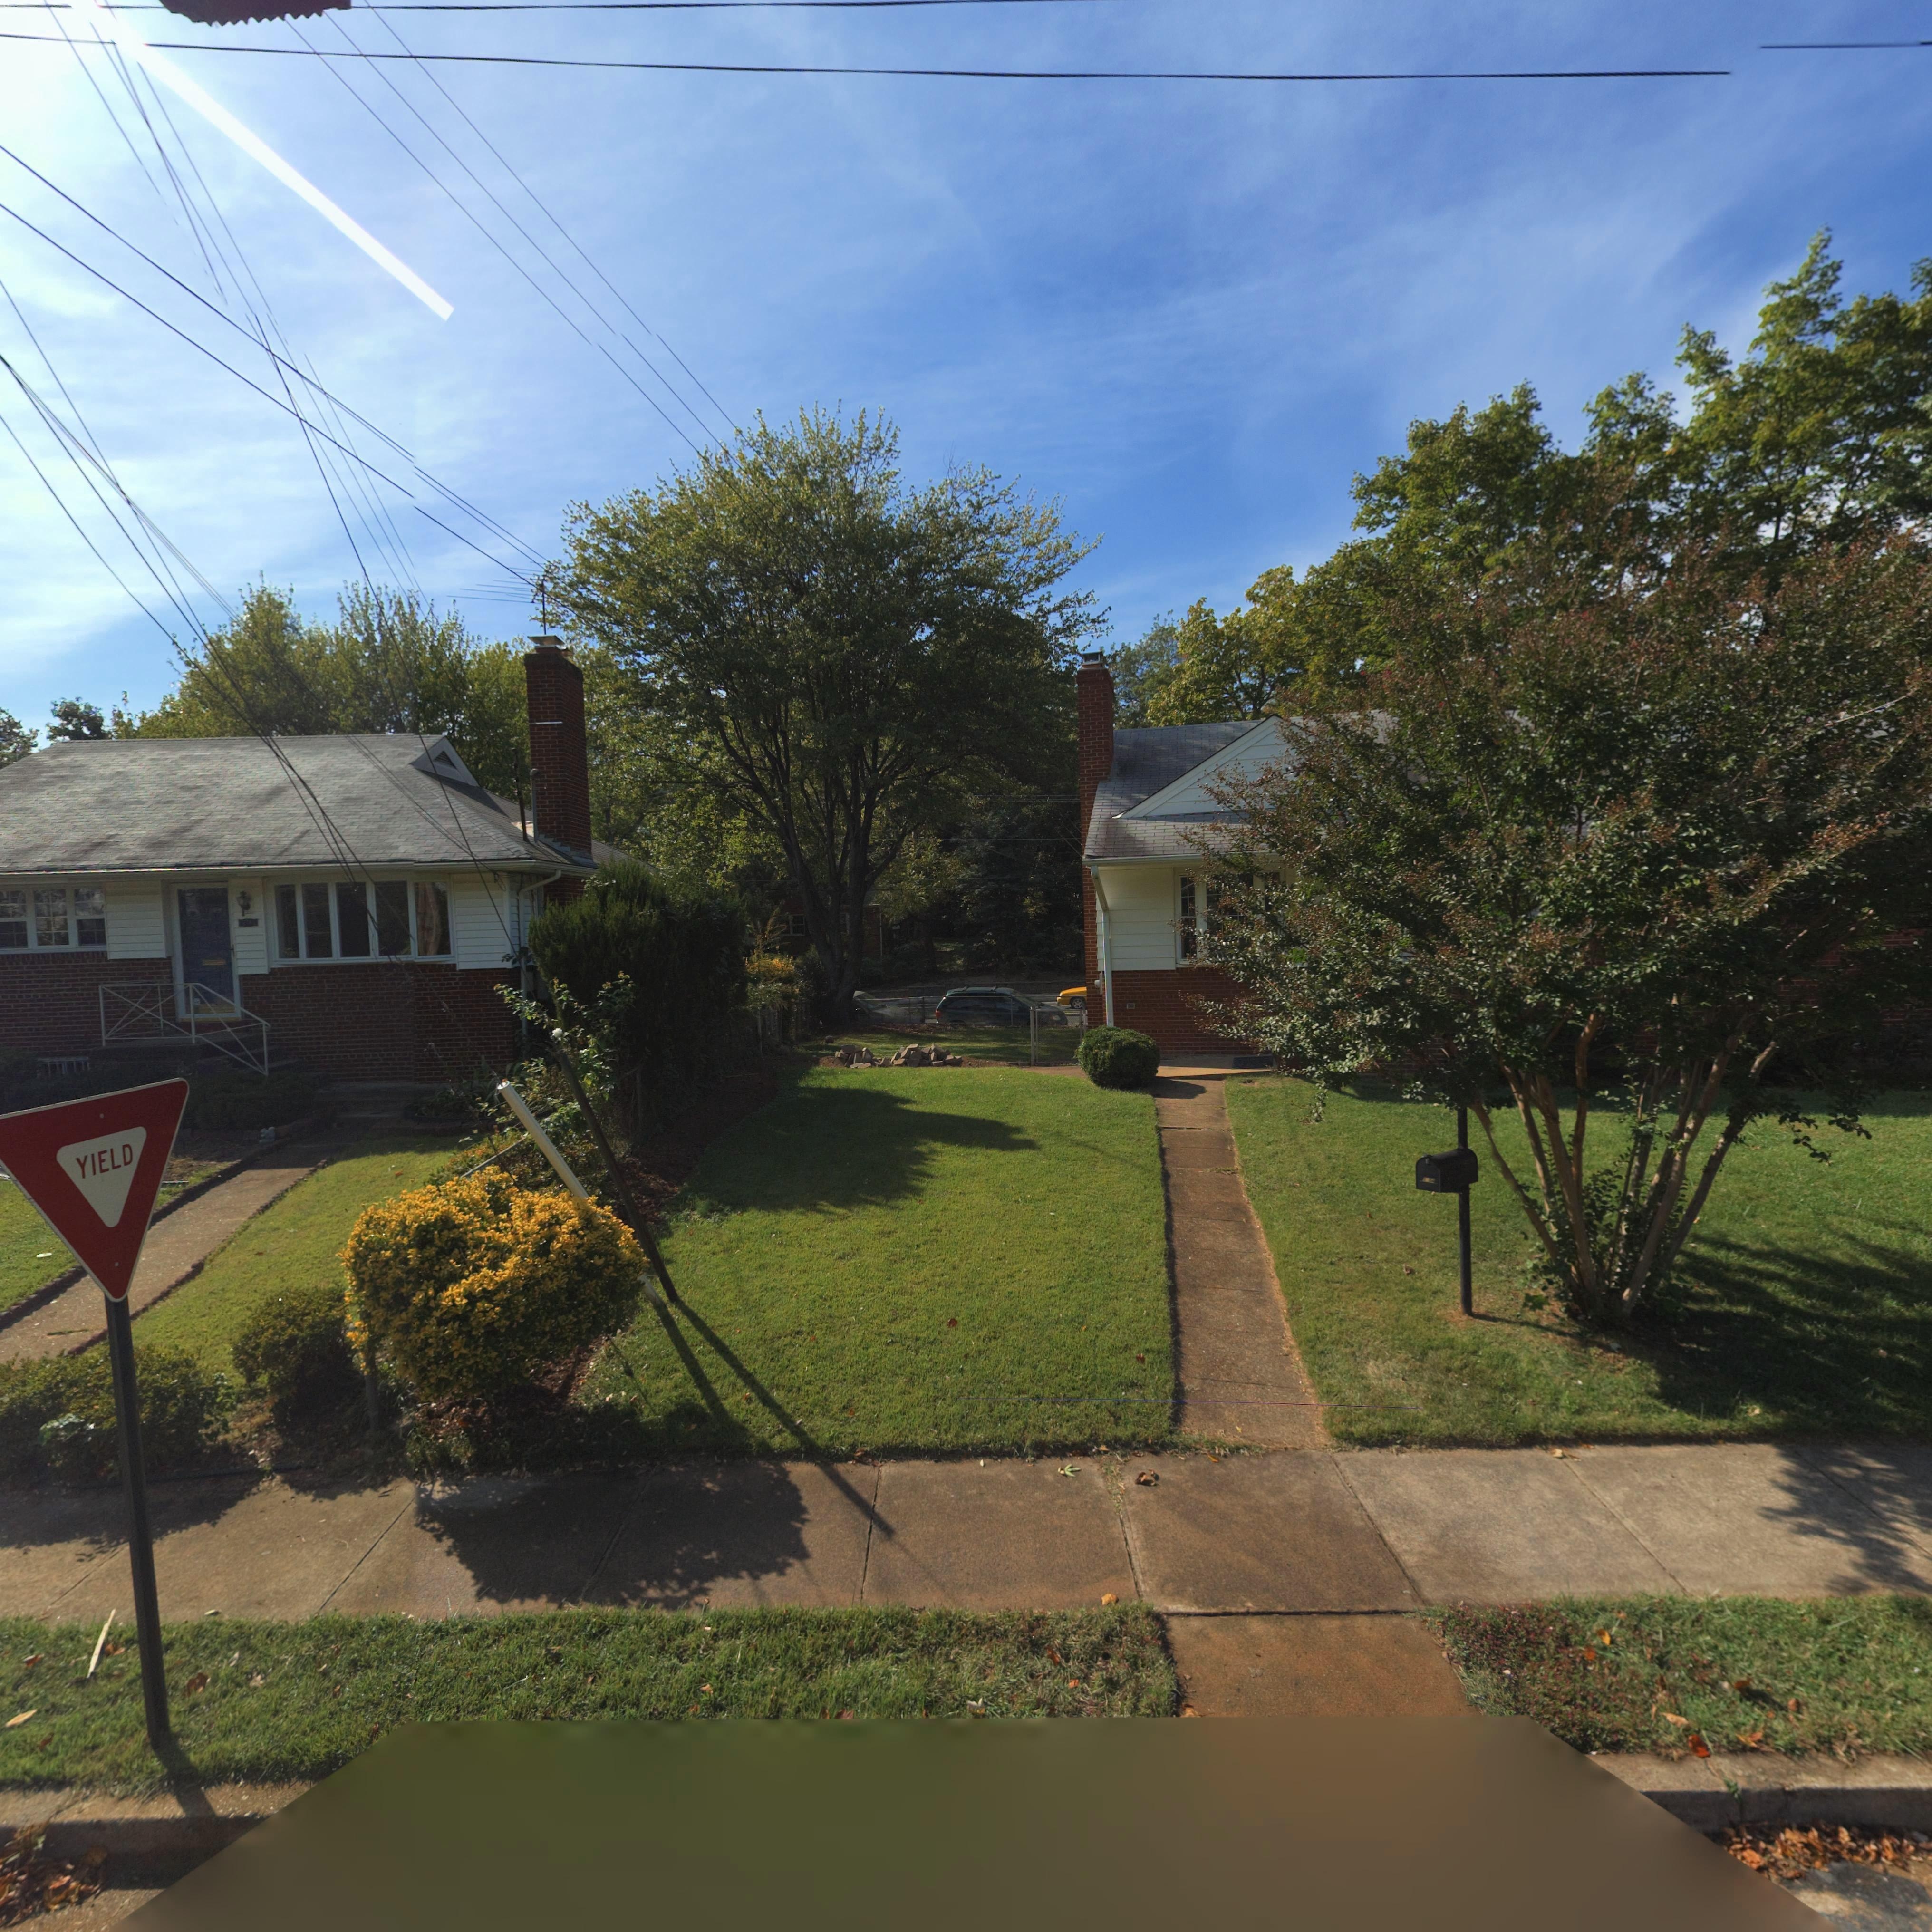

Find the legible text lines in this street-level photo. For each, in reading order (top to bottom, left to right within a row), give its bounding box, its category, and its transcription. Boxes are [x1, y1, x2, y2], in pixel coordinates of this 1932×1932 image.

[71, 1140, 135, 1182] None: YIELD